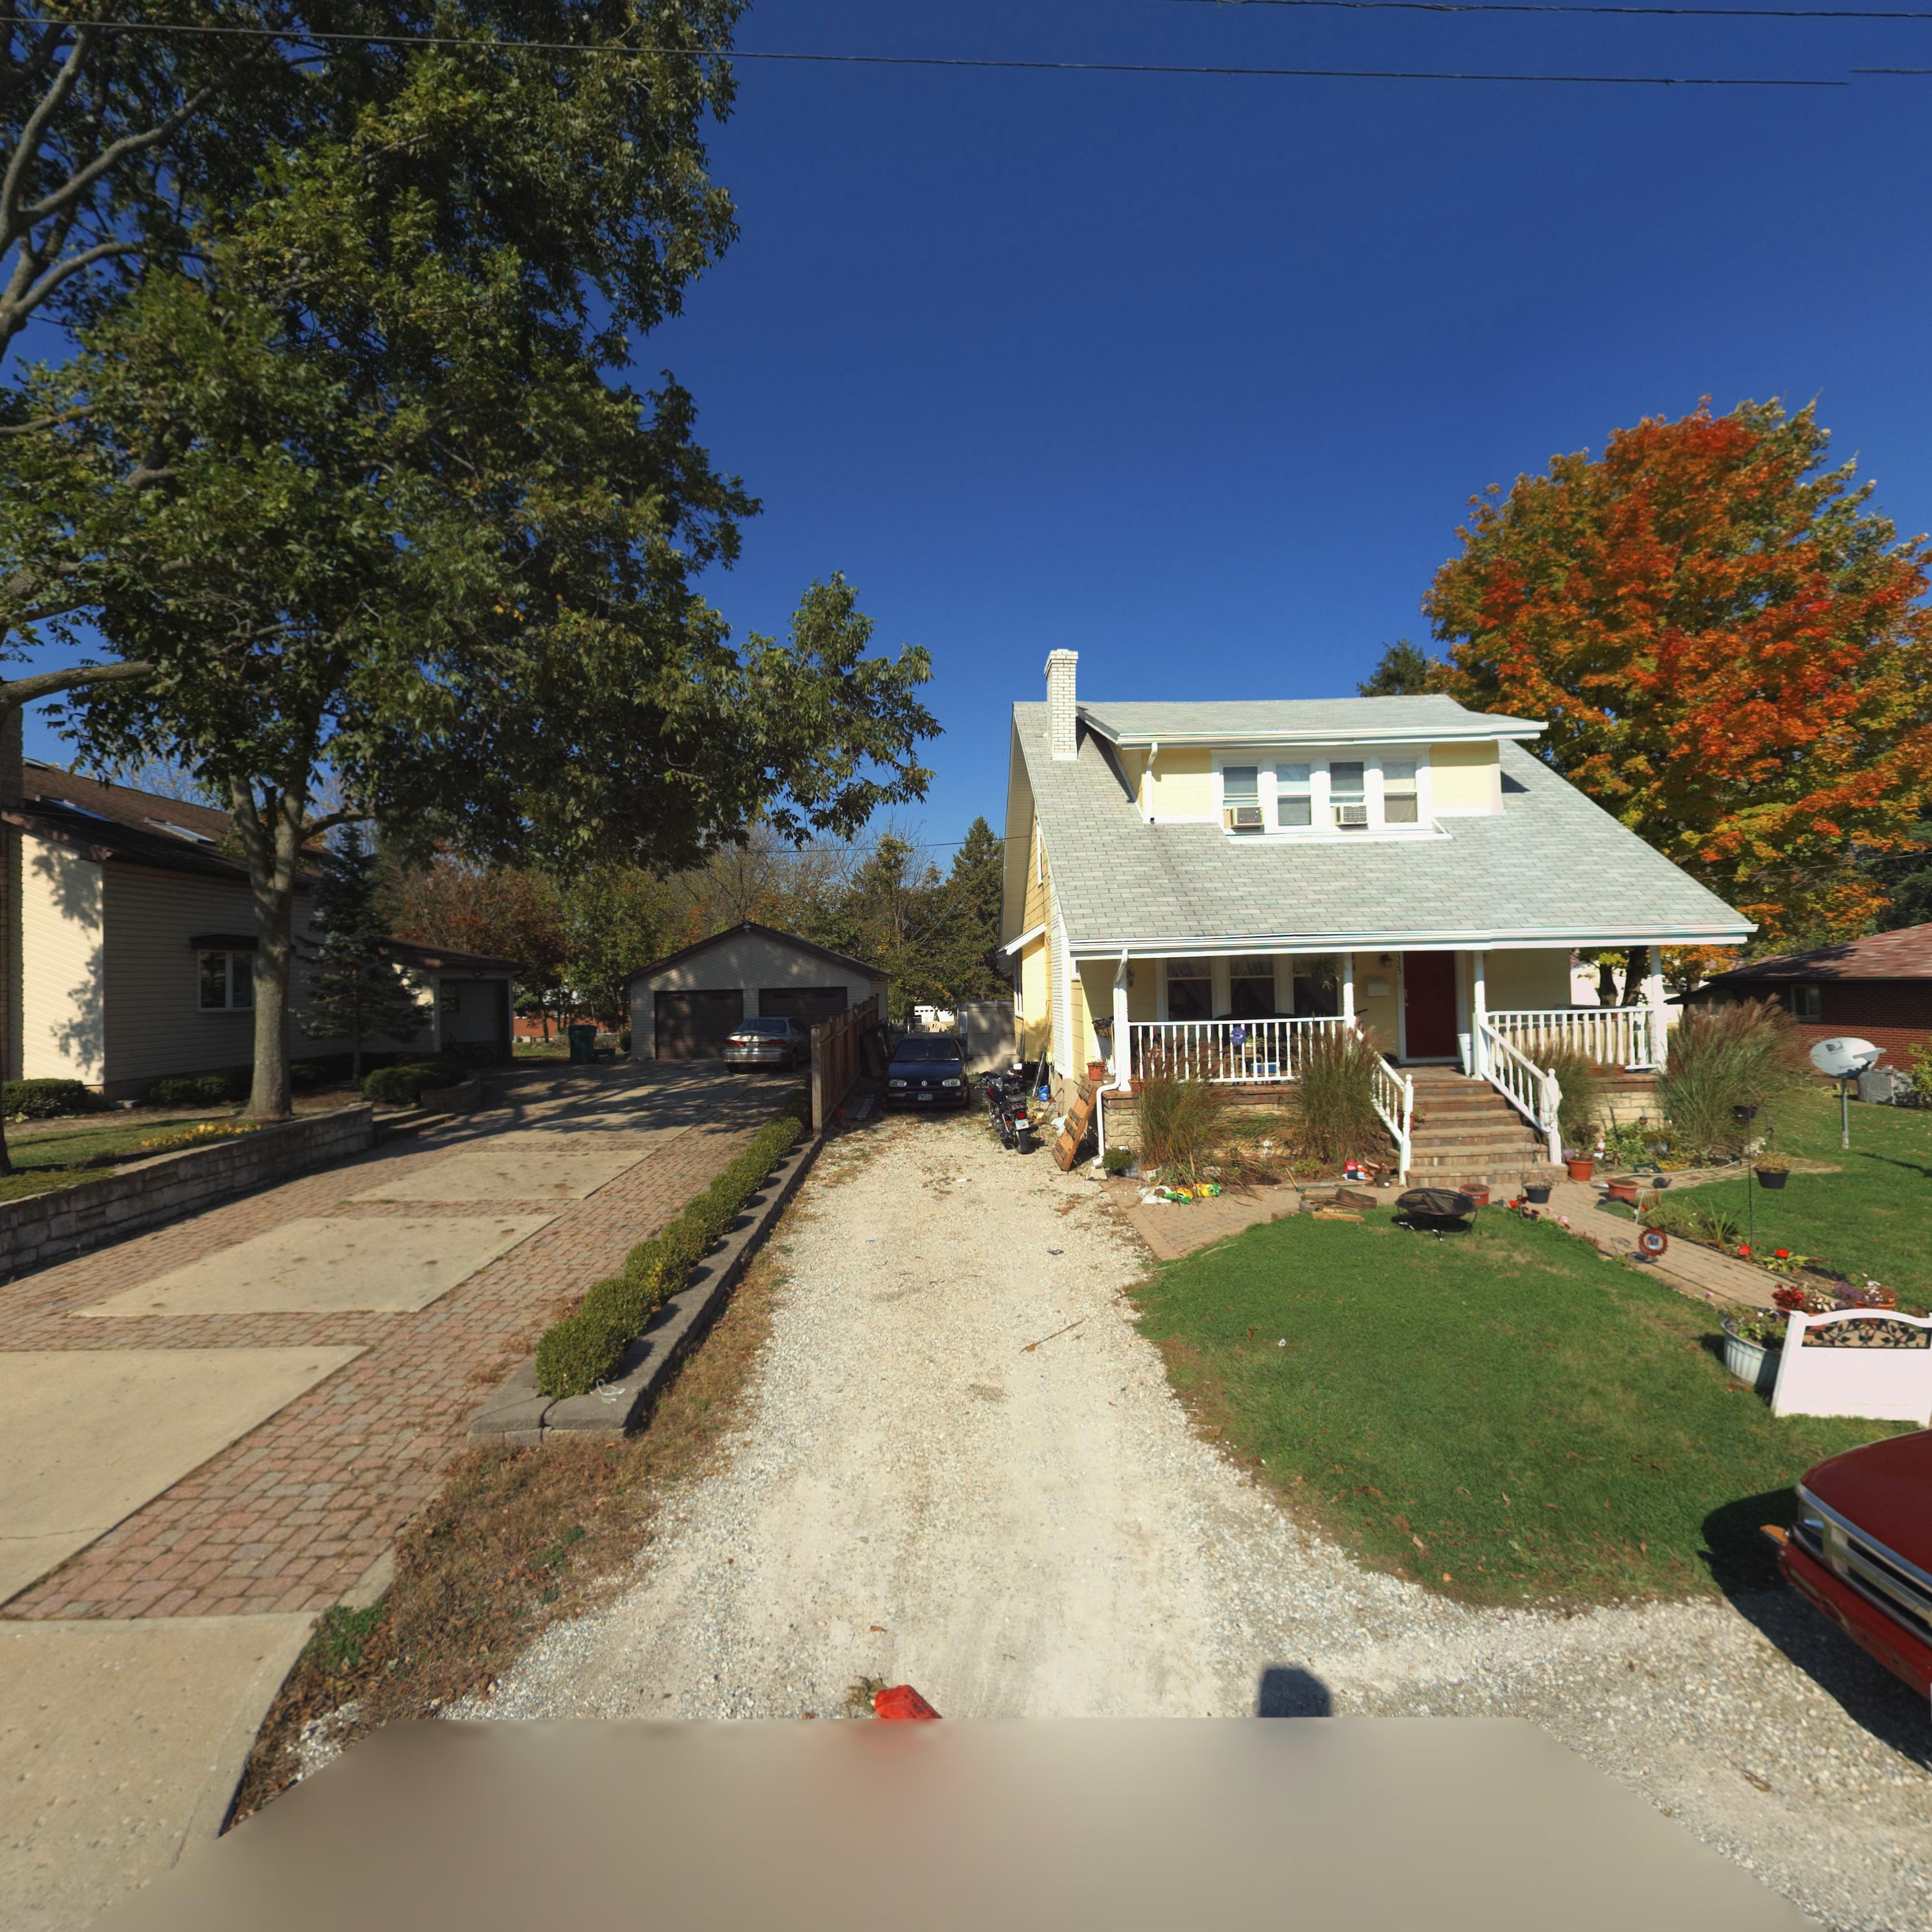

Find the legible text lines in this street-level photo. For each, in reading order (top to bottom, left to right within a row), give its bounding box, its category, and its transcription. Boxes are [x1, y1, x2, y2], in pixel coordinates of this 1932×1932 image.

[1397, 951, 1403, 975] StreetNumber: 1325